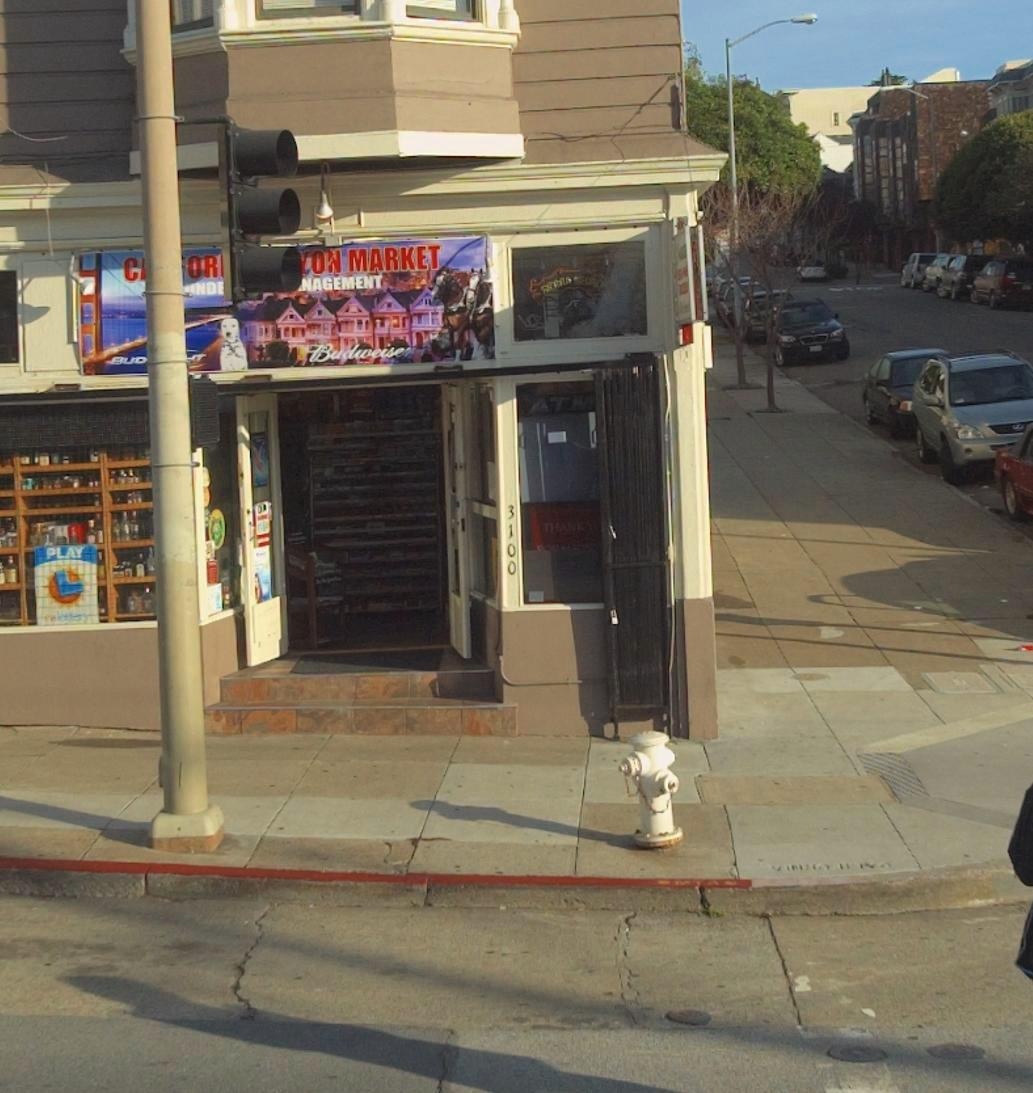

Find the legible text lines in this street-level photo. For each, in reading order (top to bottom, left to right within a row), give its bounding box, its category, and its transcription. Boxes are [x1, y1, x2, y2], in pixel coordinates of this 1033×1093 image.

[122, 255, 140, 284] BusinessName: C
[186, 251, 220, 282] BusinessName: OR
[299, 272, 385, 293] None: NAGEMENT
[308, 242, 444, 277] BusinessName: ON MARKET
[303, 339, 421, 365] None: Budweiser
[44, 545, 87, 561] None: PLAY
[504, 502, 518, 578] StreetNumber: 3100
[49, 565, 91, 602] None: L